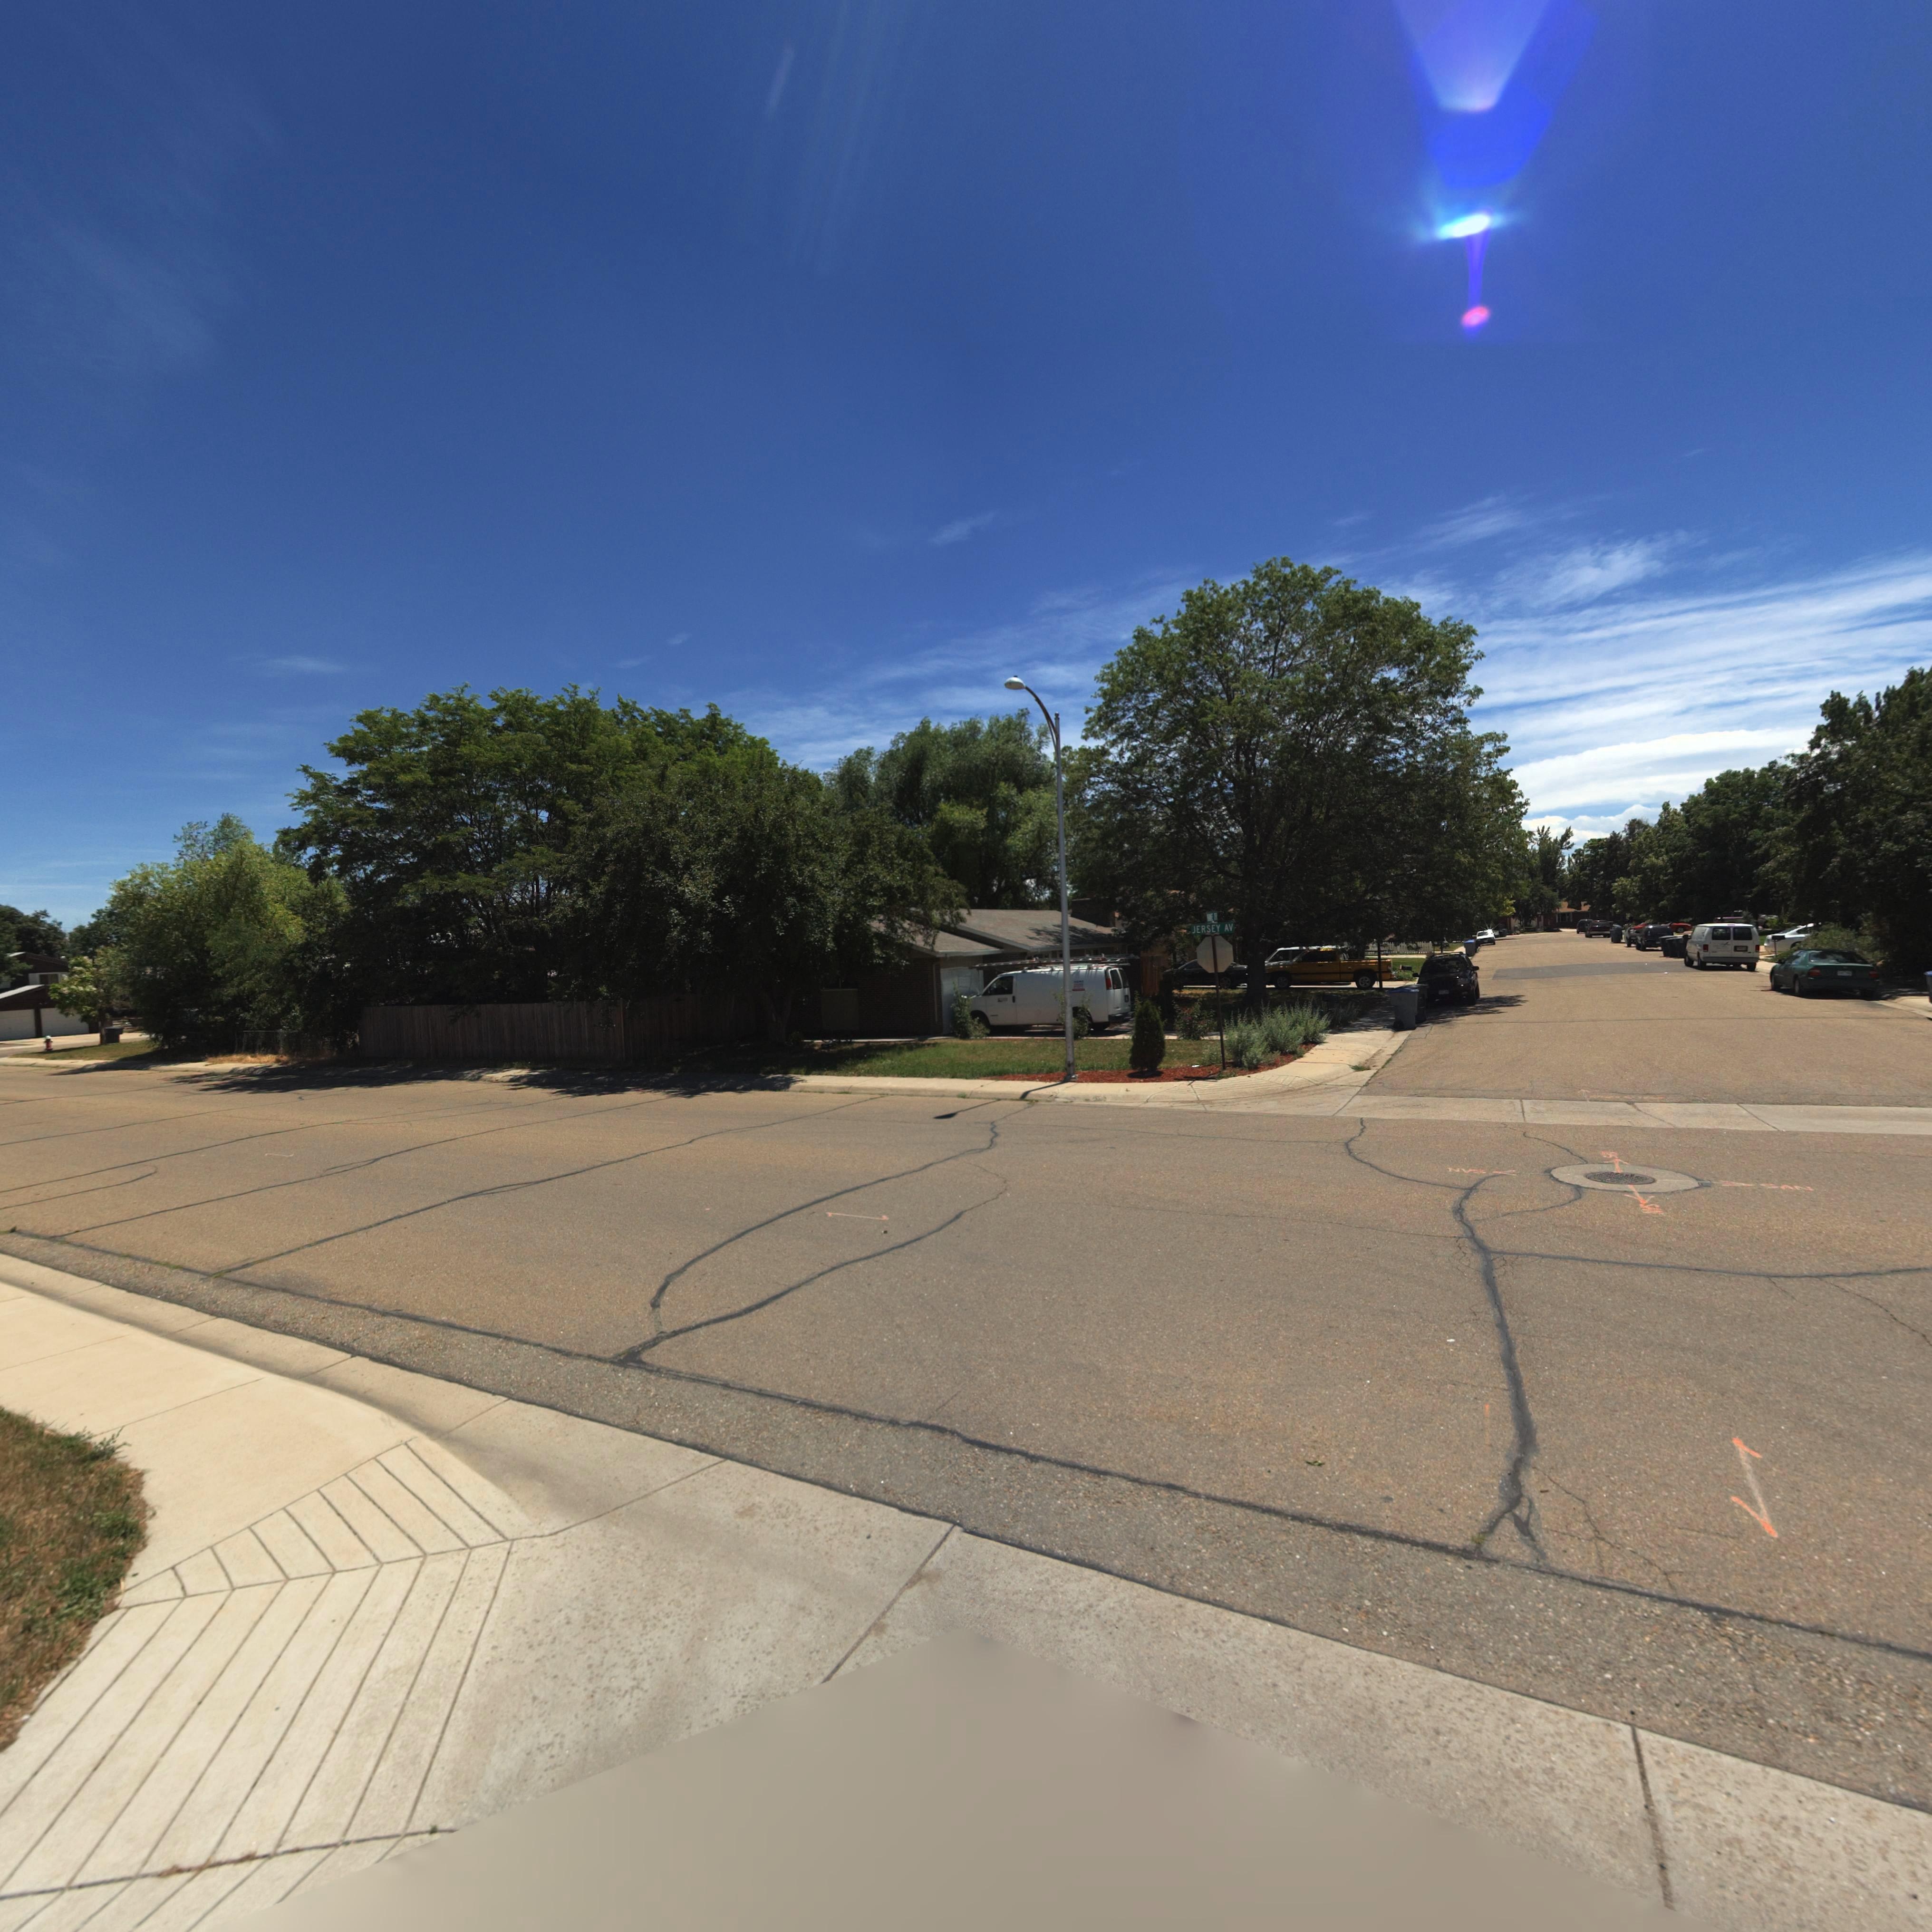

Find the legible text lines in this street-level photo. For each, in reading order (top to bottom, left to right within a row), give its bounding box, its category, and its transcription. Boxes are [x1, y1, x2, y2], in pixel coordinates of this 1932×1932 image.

[1207, 912, 1217, 921] StreetName: *A*E D*
[1191, 923, 1234, 934] BusinessName: JERSEY AV